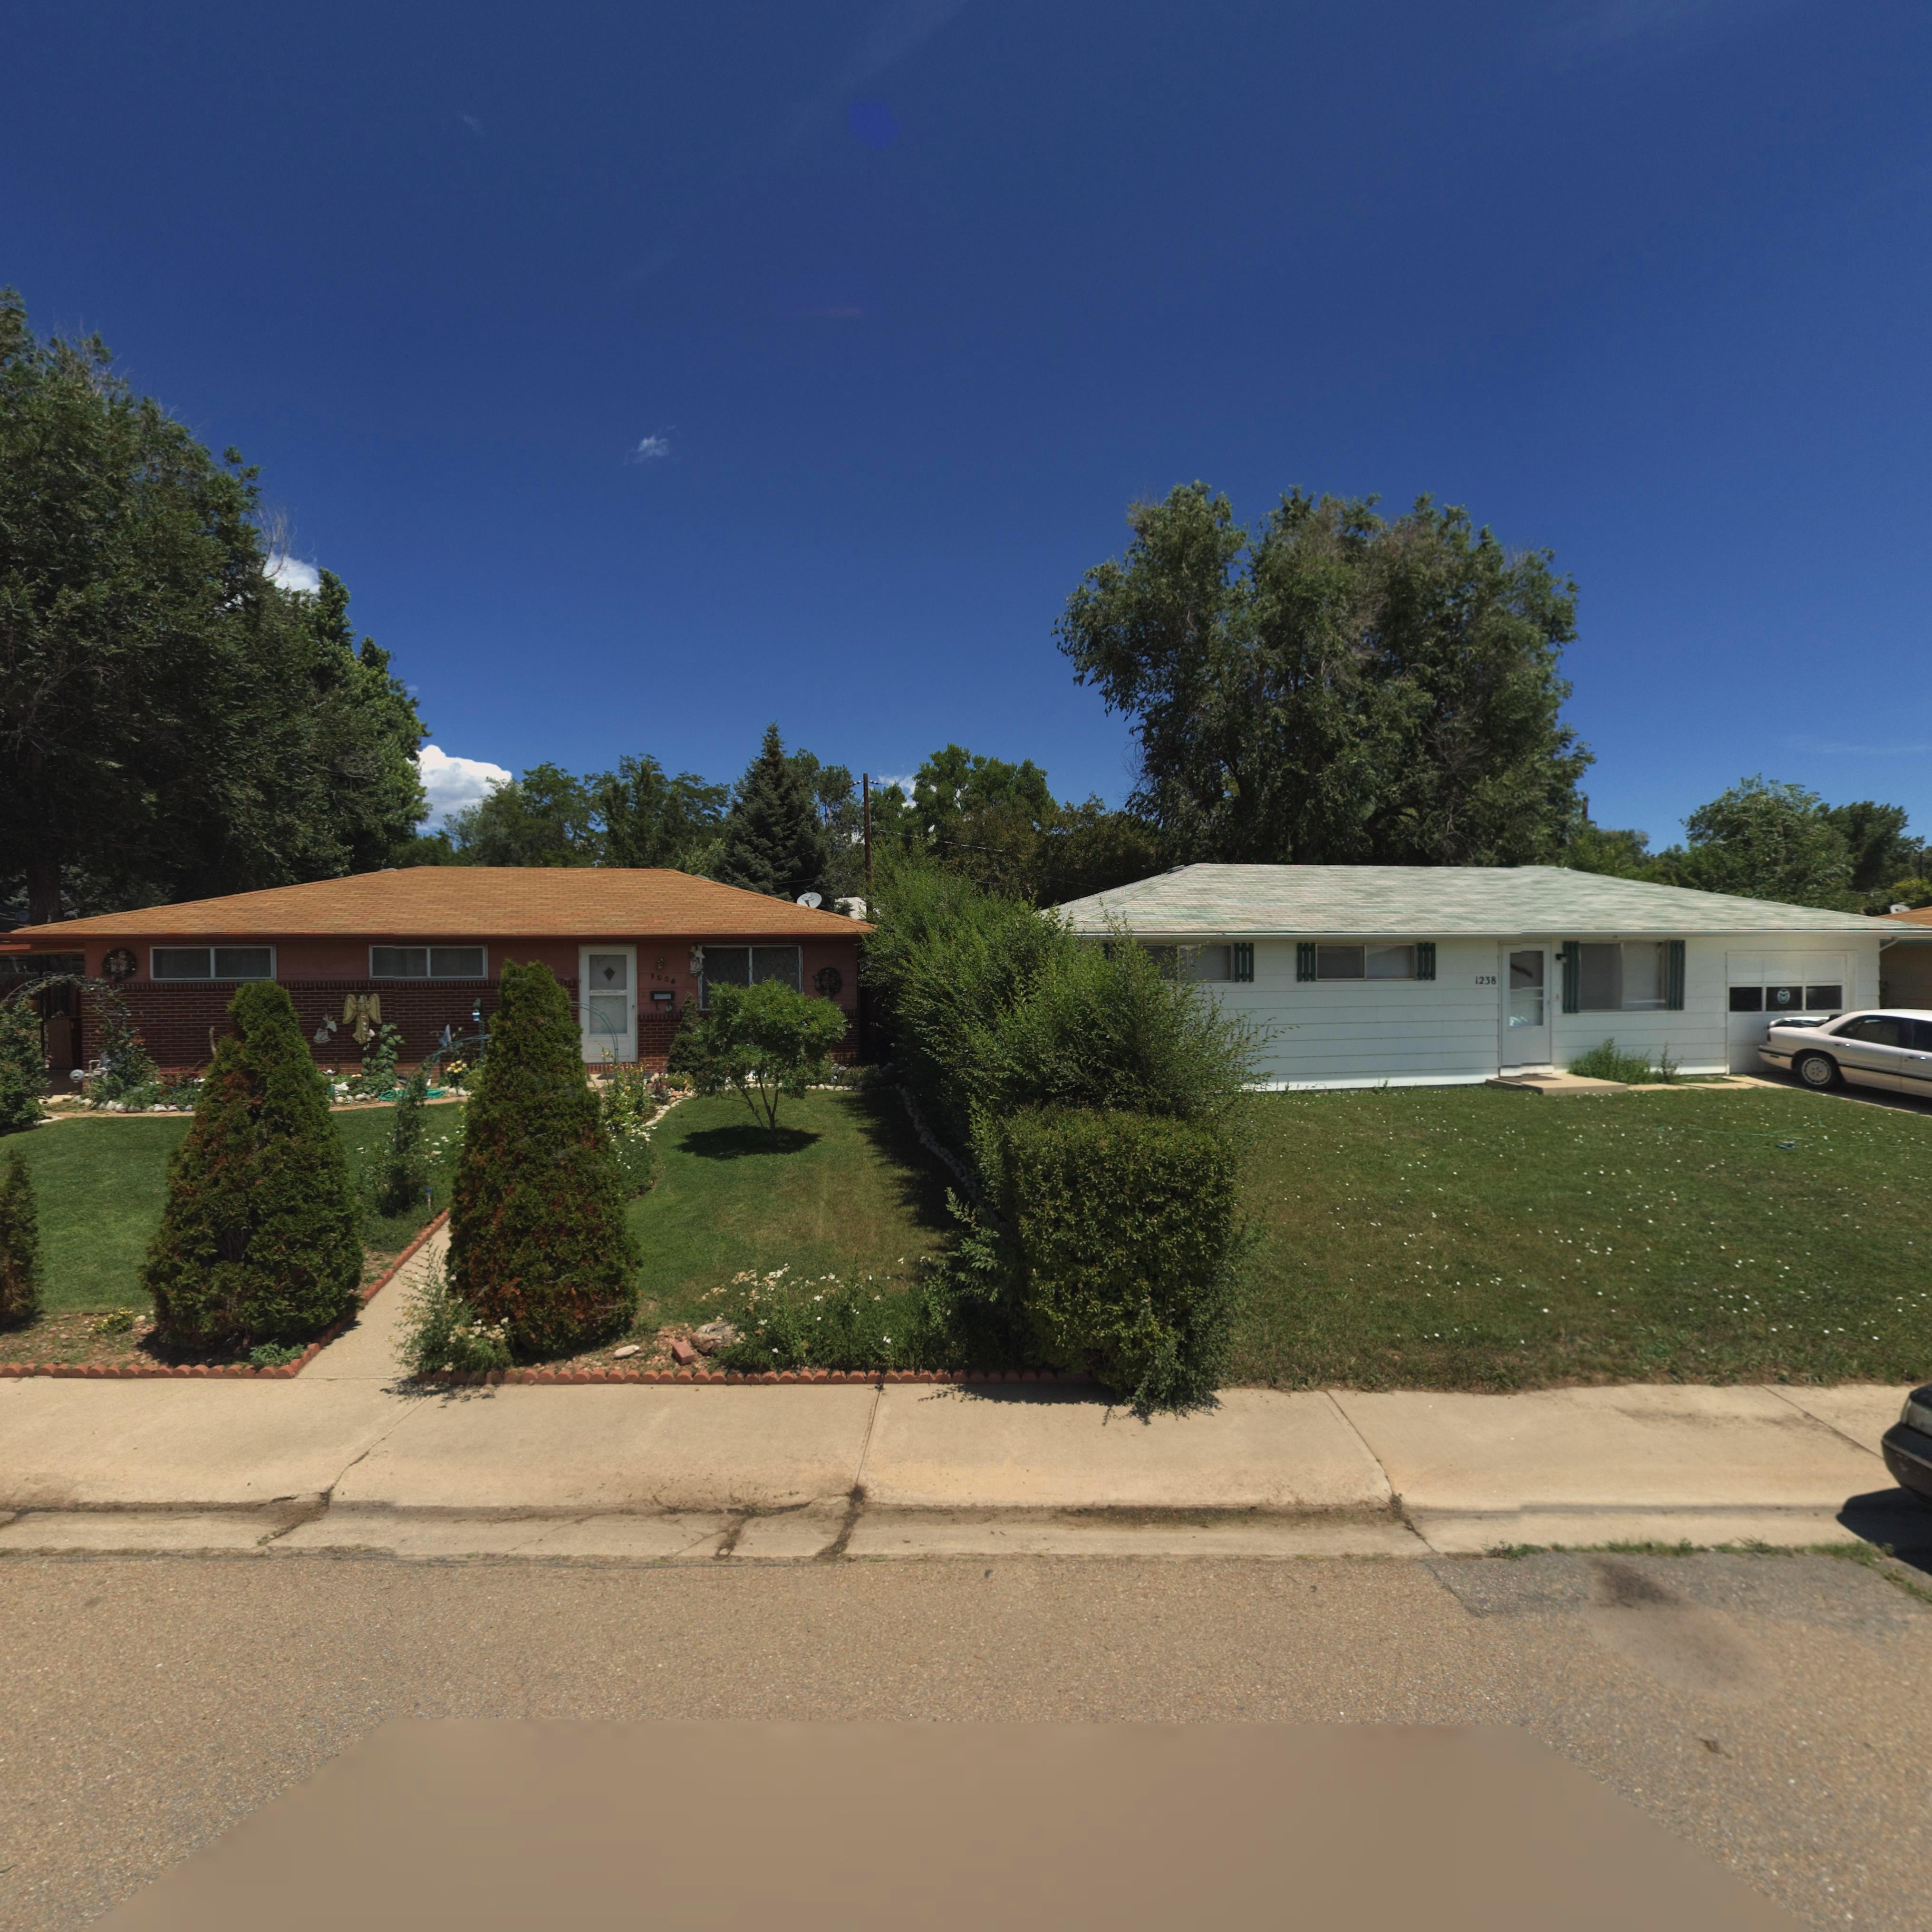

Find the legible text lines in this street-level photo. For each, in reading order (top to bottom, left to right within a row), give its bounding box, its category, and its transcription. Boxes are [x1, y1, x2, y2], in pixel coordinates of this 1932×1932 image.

[650, 973, 676, 984] StreetNumber: 1232
[1475, 976, 1496, 985] StreetNumber: 1238